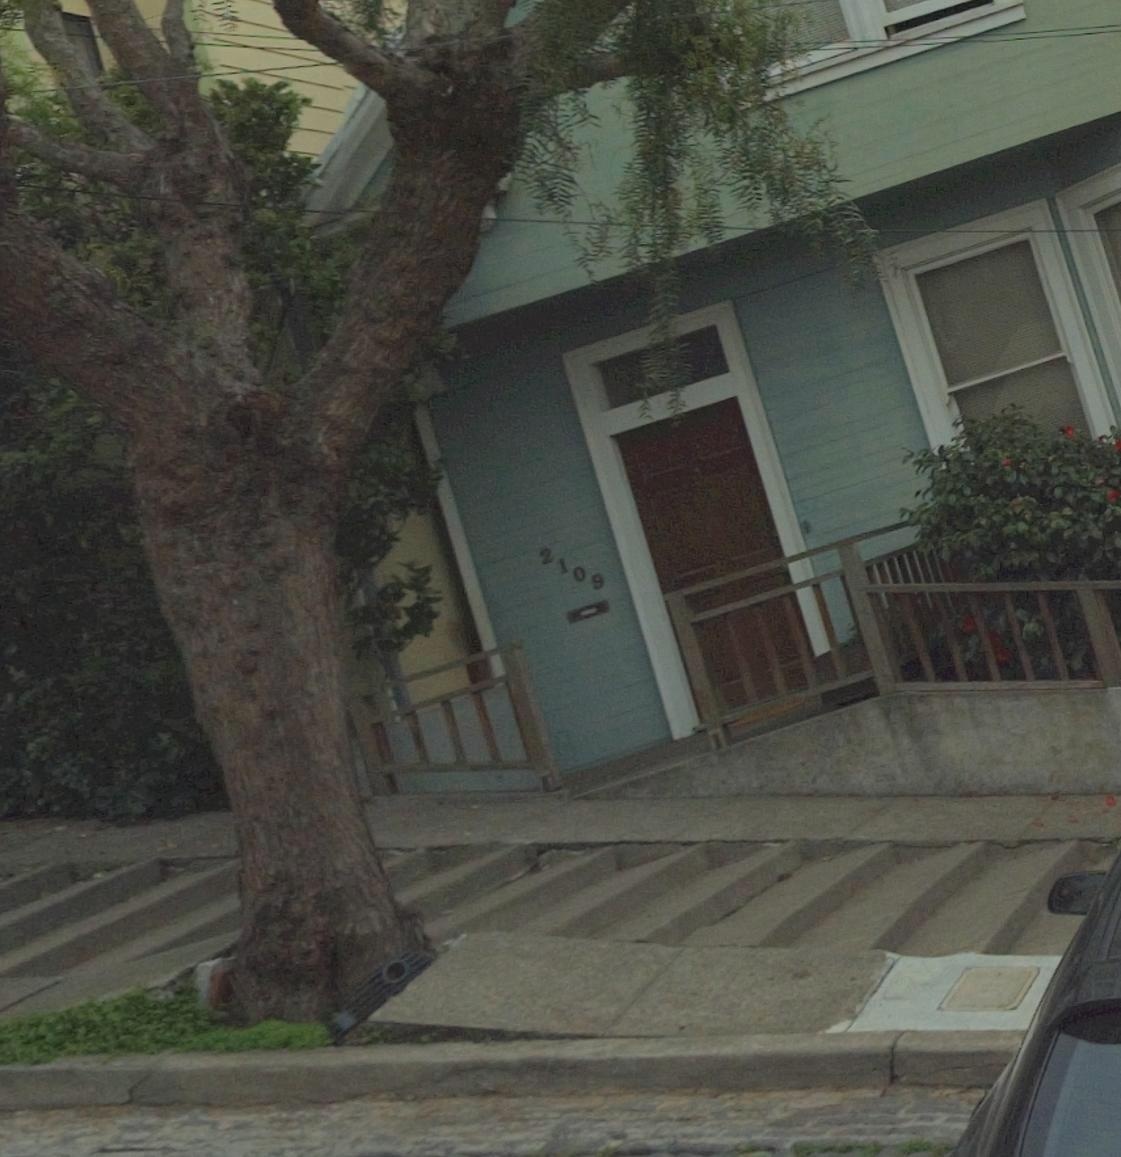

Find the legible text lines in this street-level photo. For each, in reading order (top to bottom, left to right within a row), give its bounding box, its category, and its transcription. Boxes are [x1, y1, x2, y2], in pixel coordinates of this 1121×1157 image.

[540, 544, 606, 595] StreetNumber: 2109